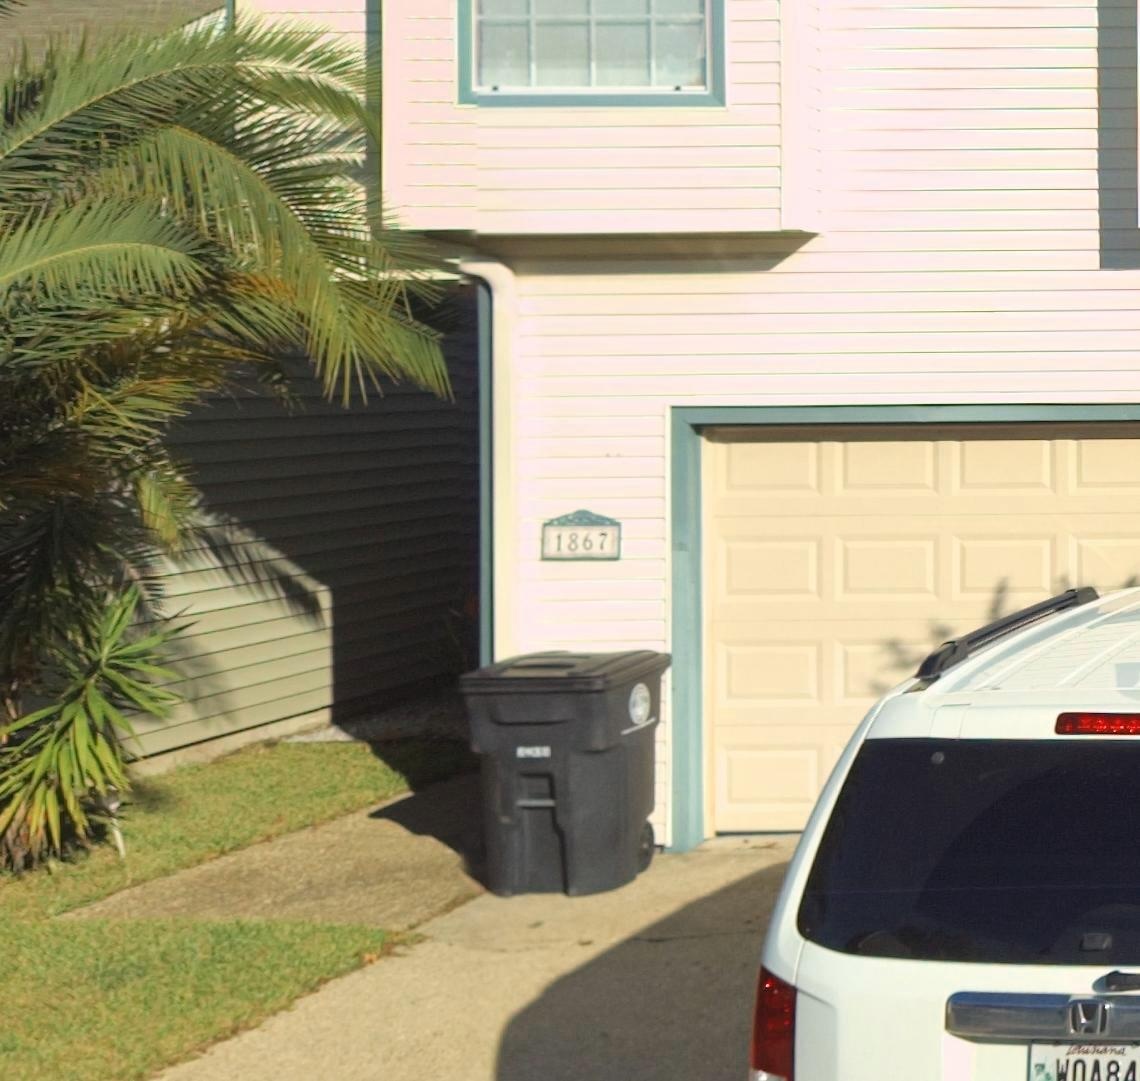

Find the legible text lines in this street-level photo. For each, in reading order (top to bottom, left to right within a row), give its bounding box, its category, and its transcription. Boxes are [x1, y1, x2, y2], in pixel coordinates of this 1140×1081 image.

[553, 529, 610, 555] StreetNumber: 1867
[1072, 999, 1107, 1038] None: H